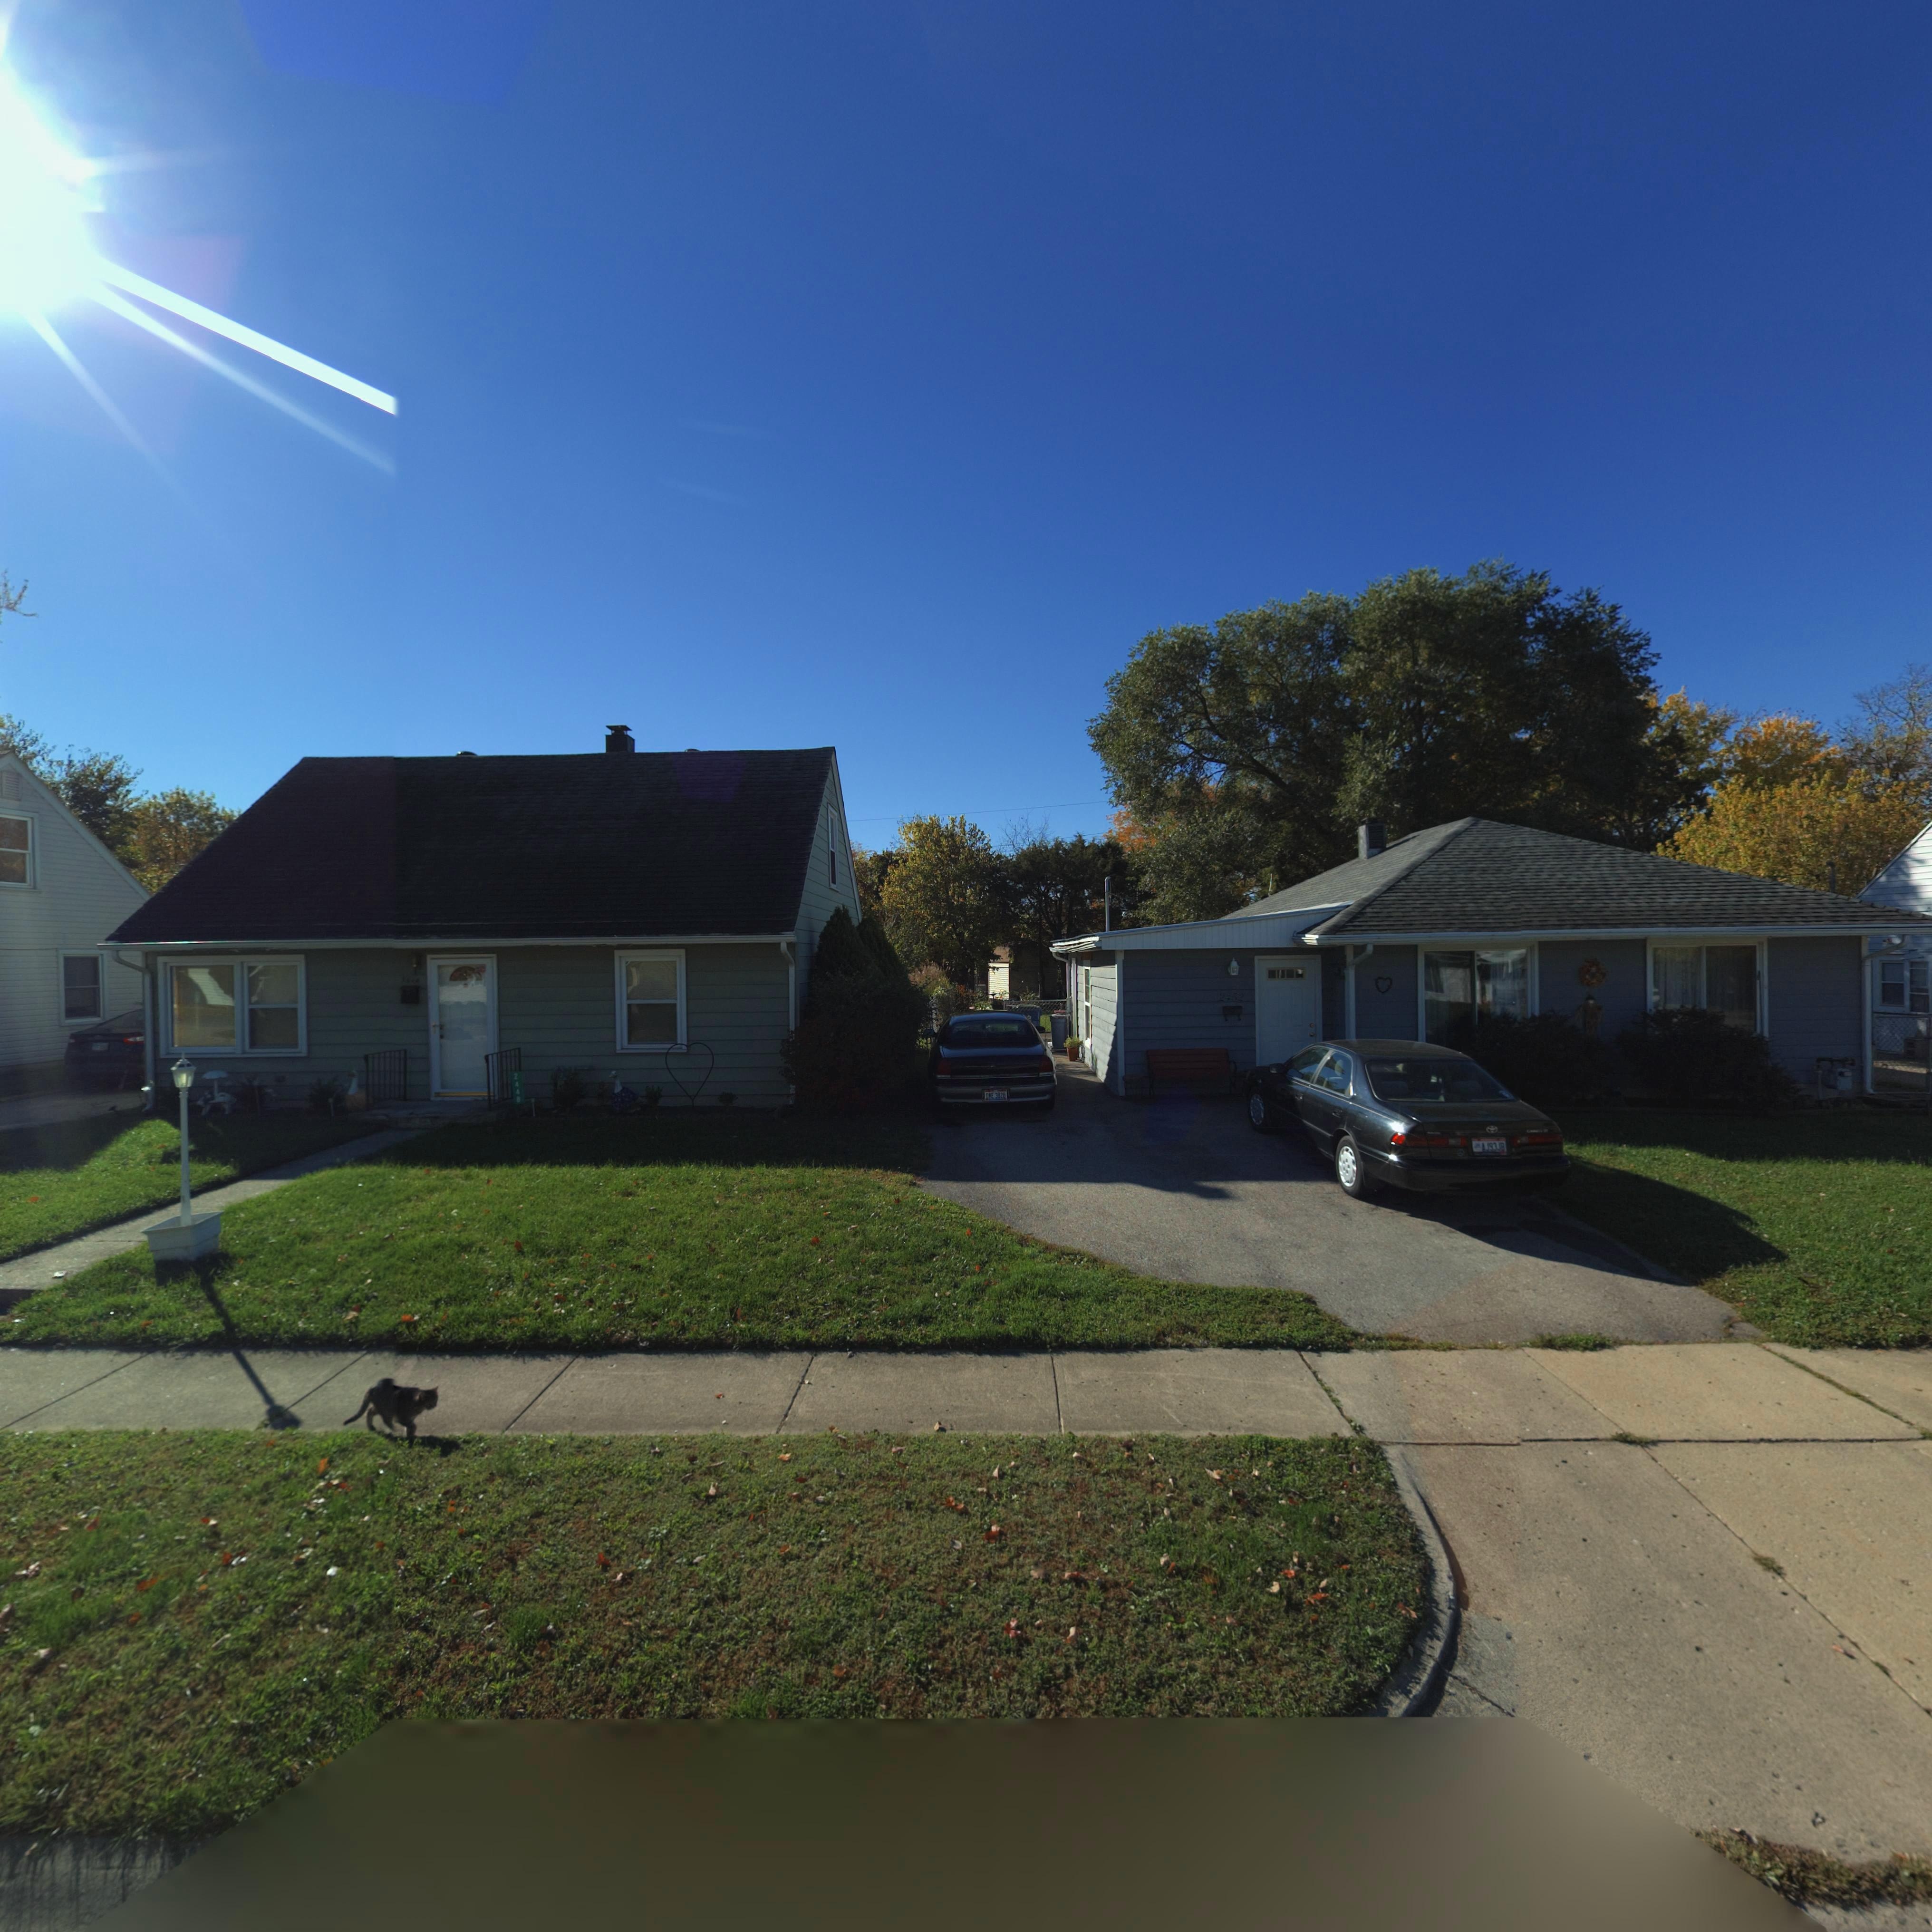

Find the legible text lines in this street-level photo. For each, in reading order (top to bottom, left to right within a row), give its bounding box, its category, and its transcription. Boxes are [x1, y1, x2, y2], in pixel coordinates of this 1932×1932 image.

[1218, 992, 1245, 1003] StreetNumber: 2452
[512, 1071, 523, 1104] StreetNumber: 2448
[1481, 1141, 1506, 1152] None: AJ93JB